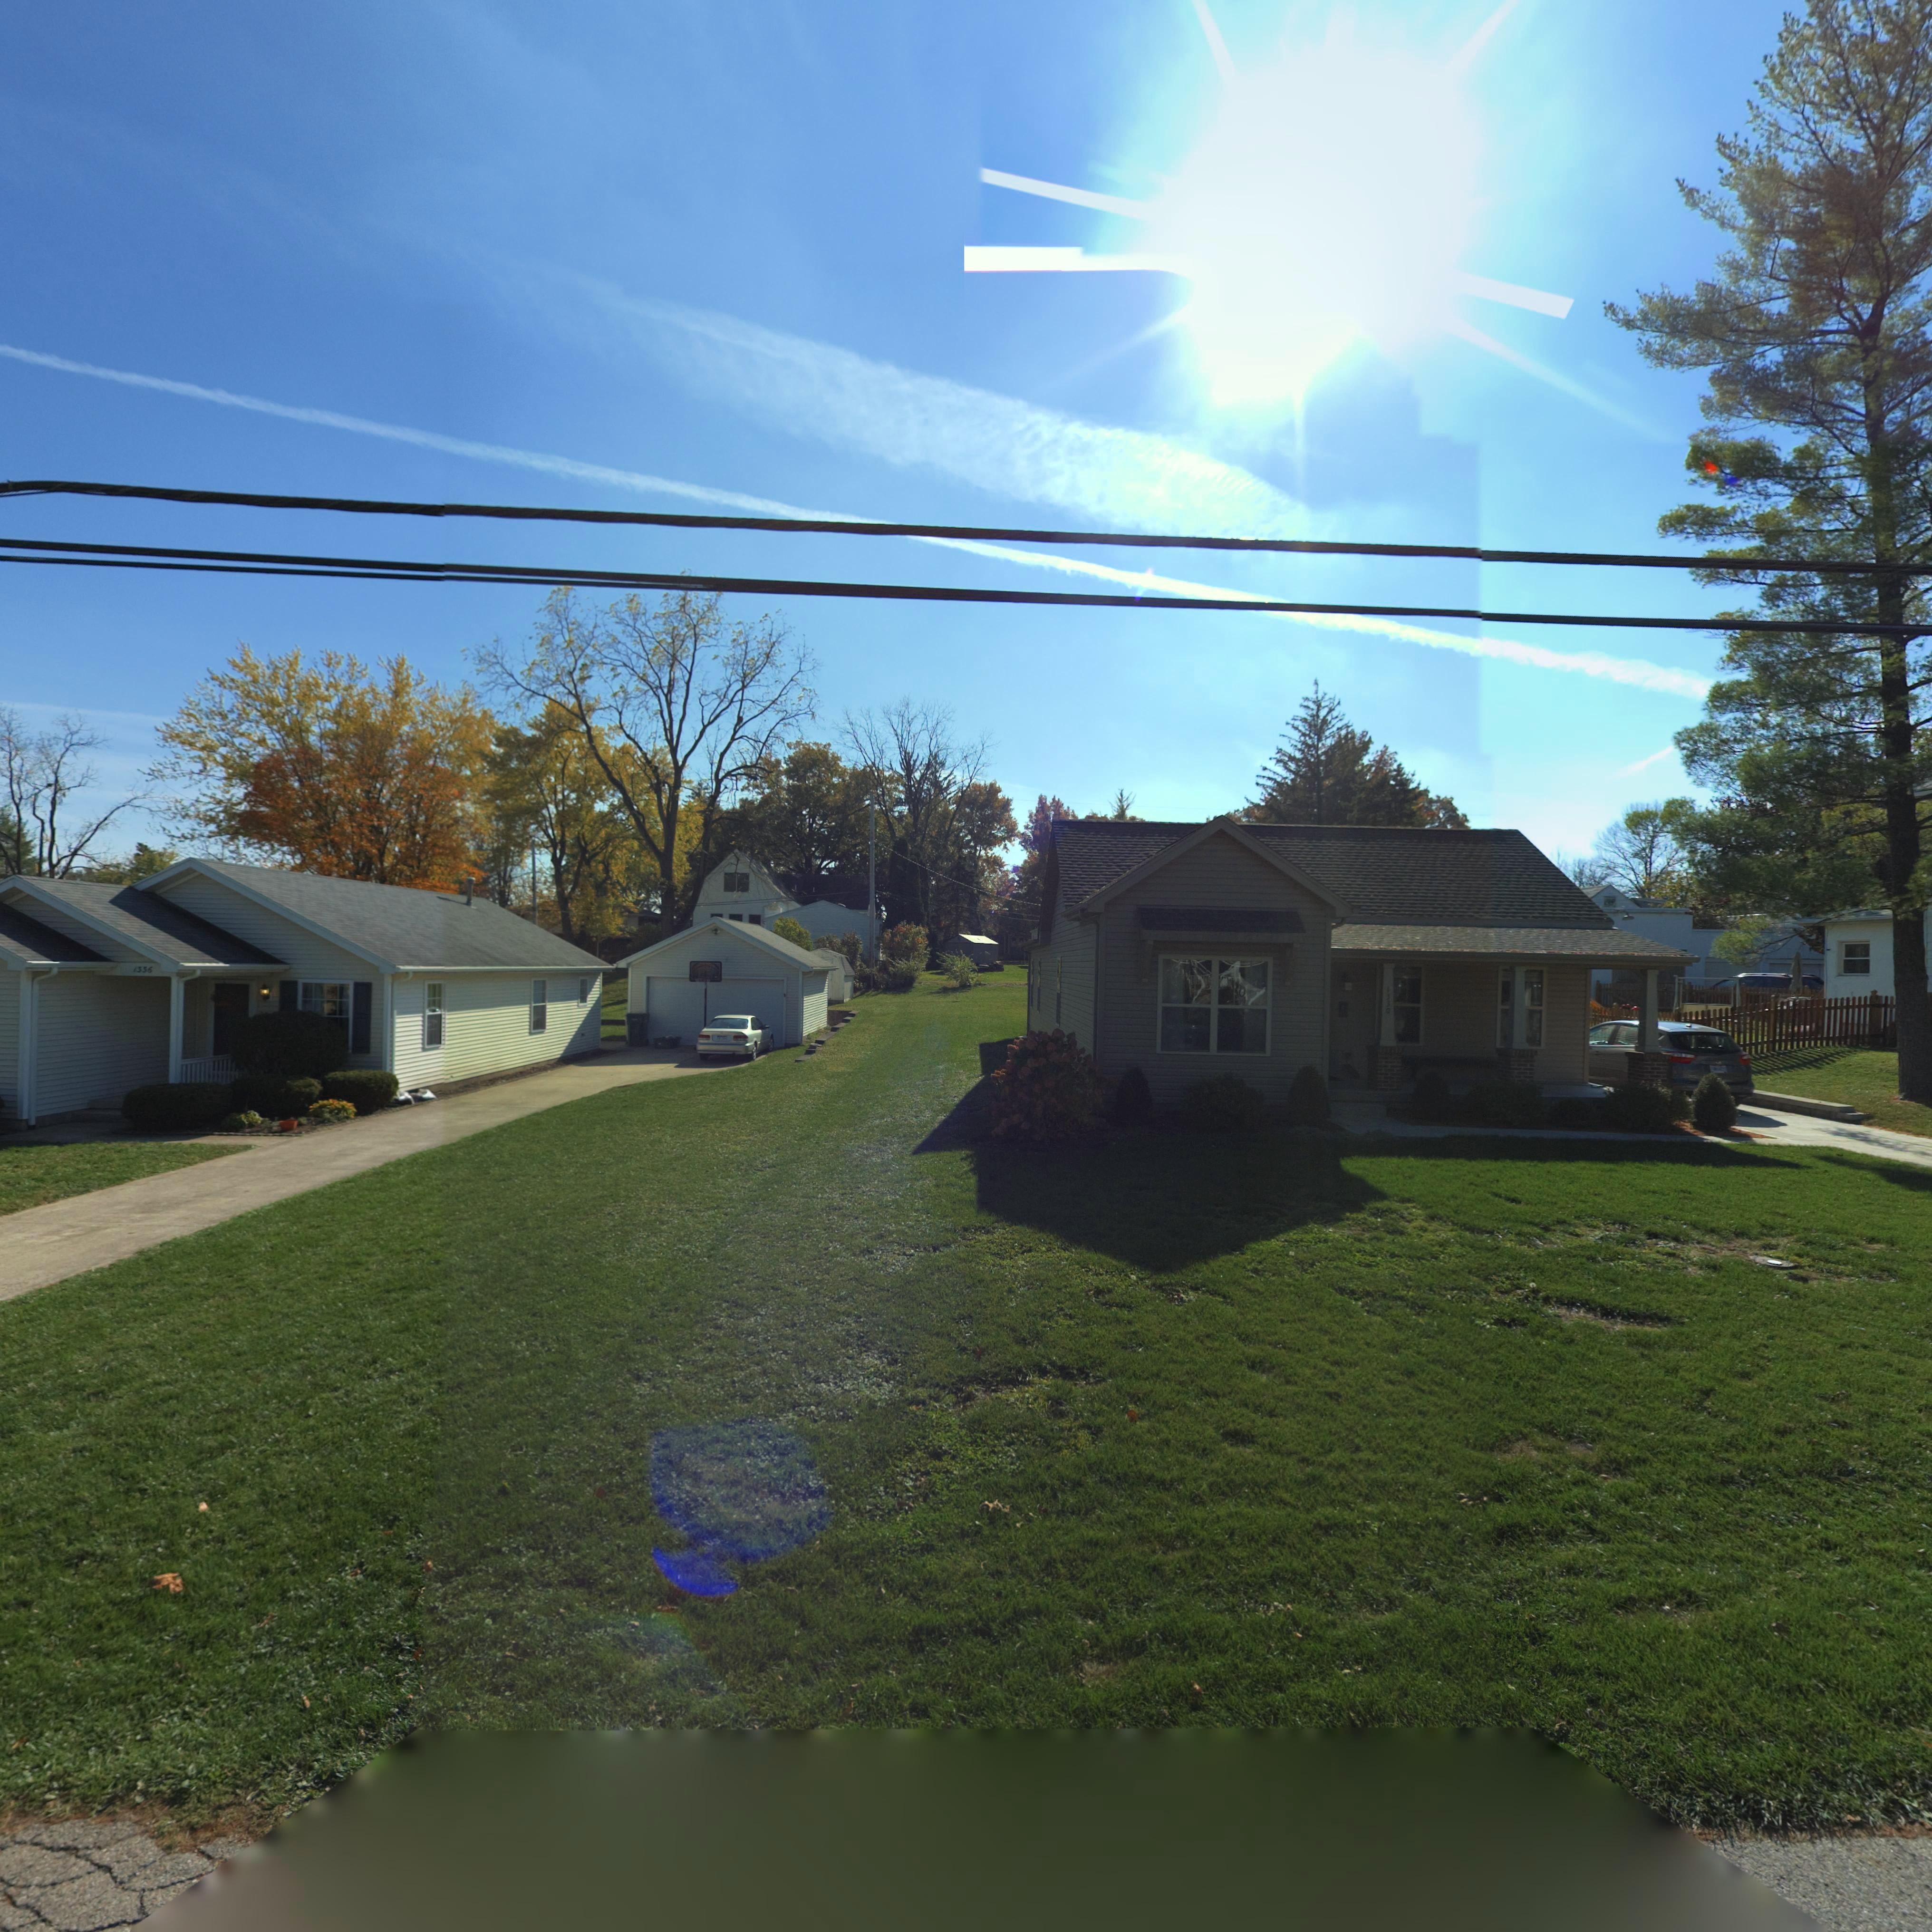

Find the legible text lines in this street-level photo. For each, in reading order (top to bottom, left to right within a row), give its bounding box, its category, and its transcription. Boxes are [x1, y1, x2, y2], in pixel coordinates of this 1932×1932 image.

[132, 966, 153, 973] StreetNumber: 1335
[1385, 985, 1391, 1013] StreetNumber: 1330